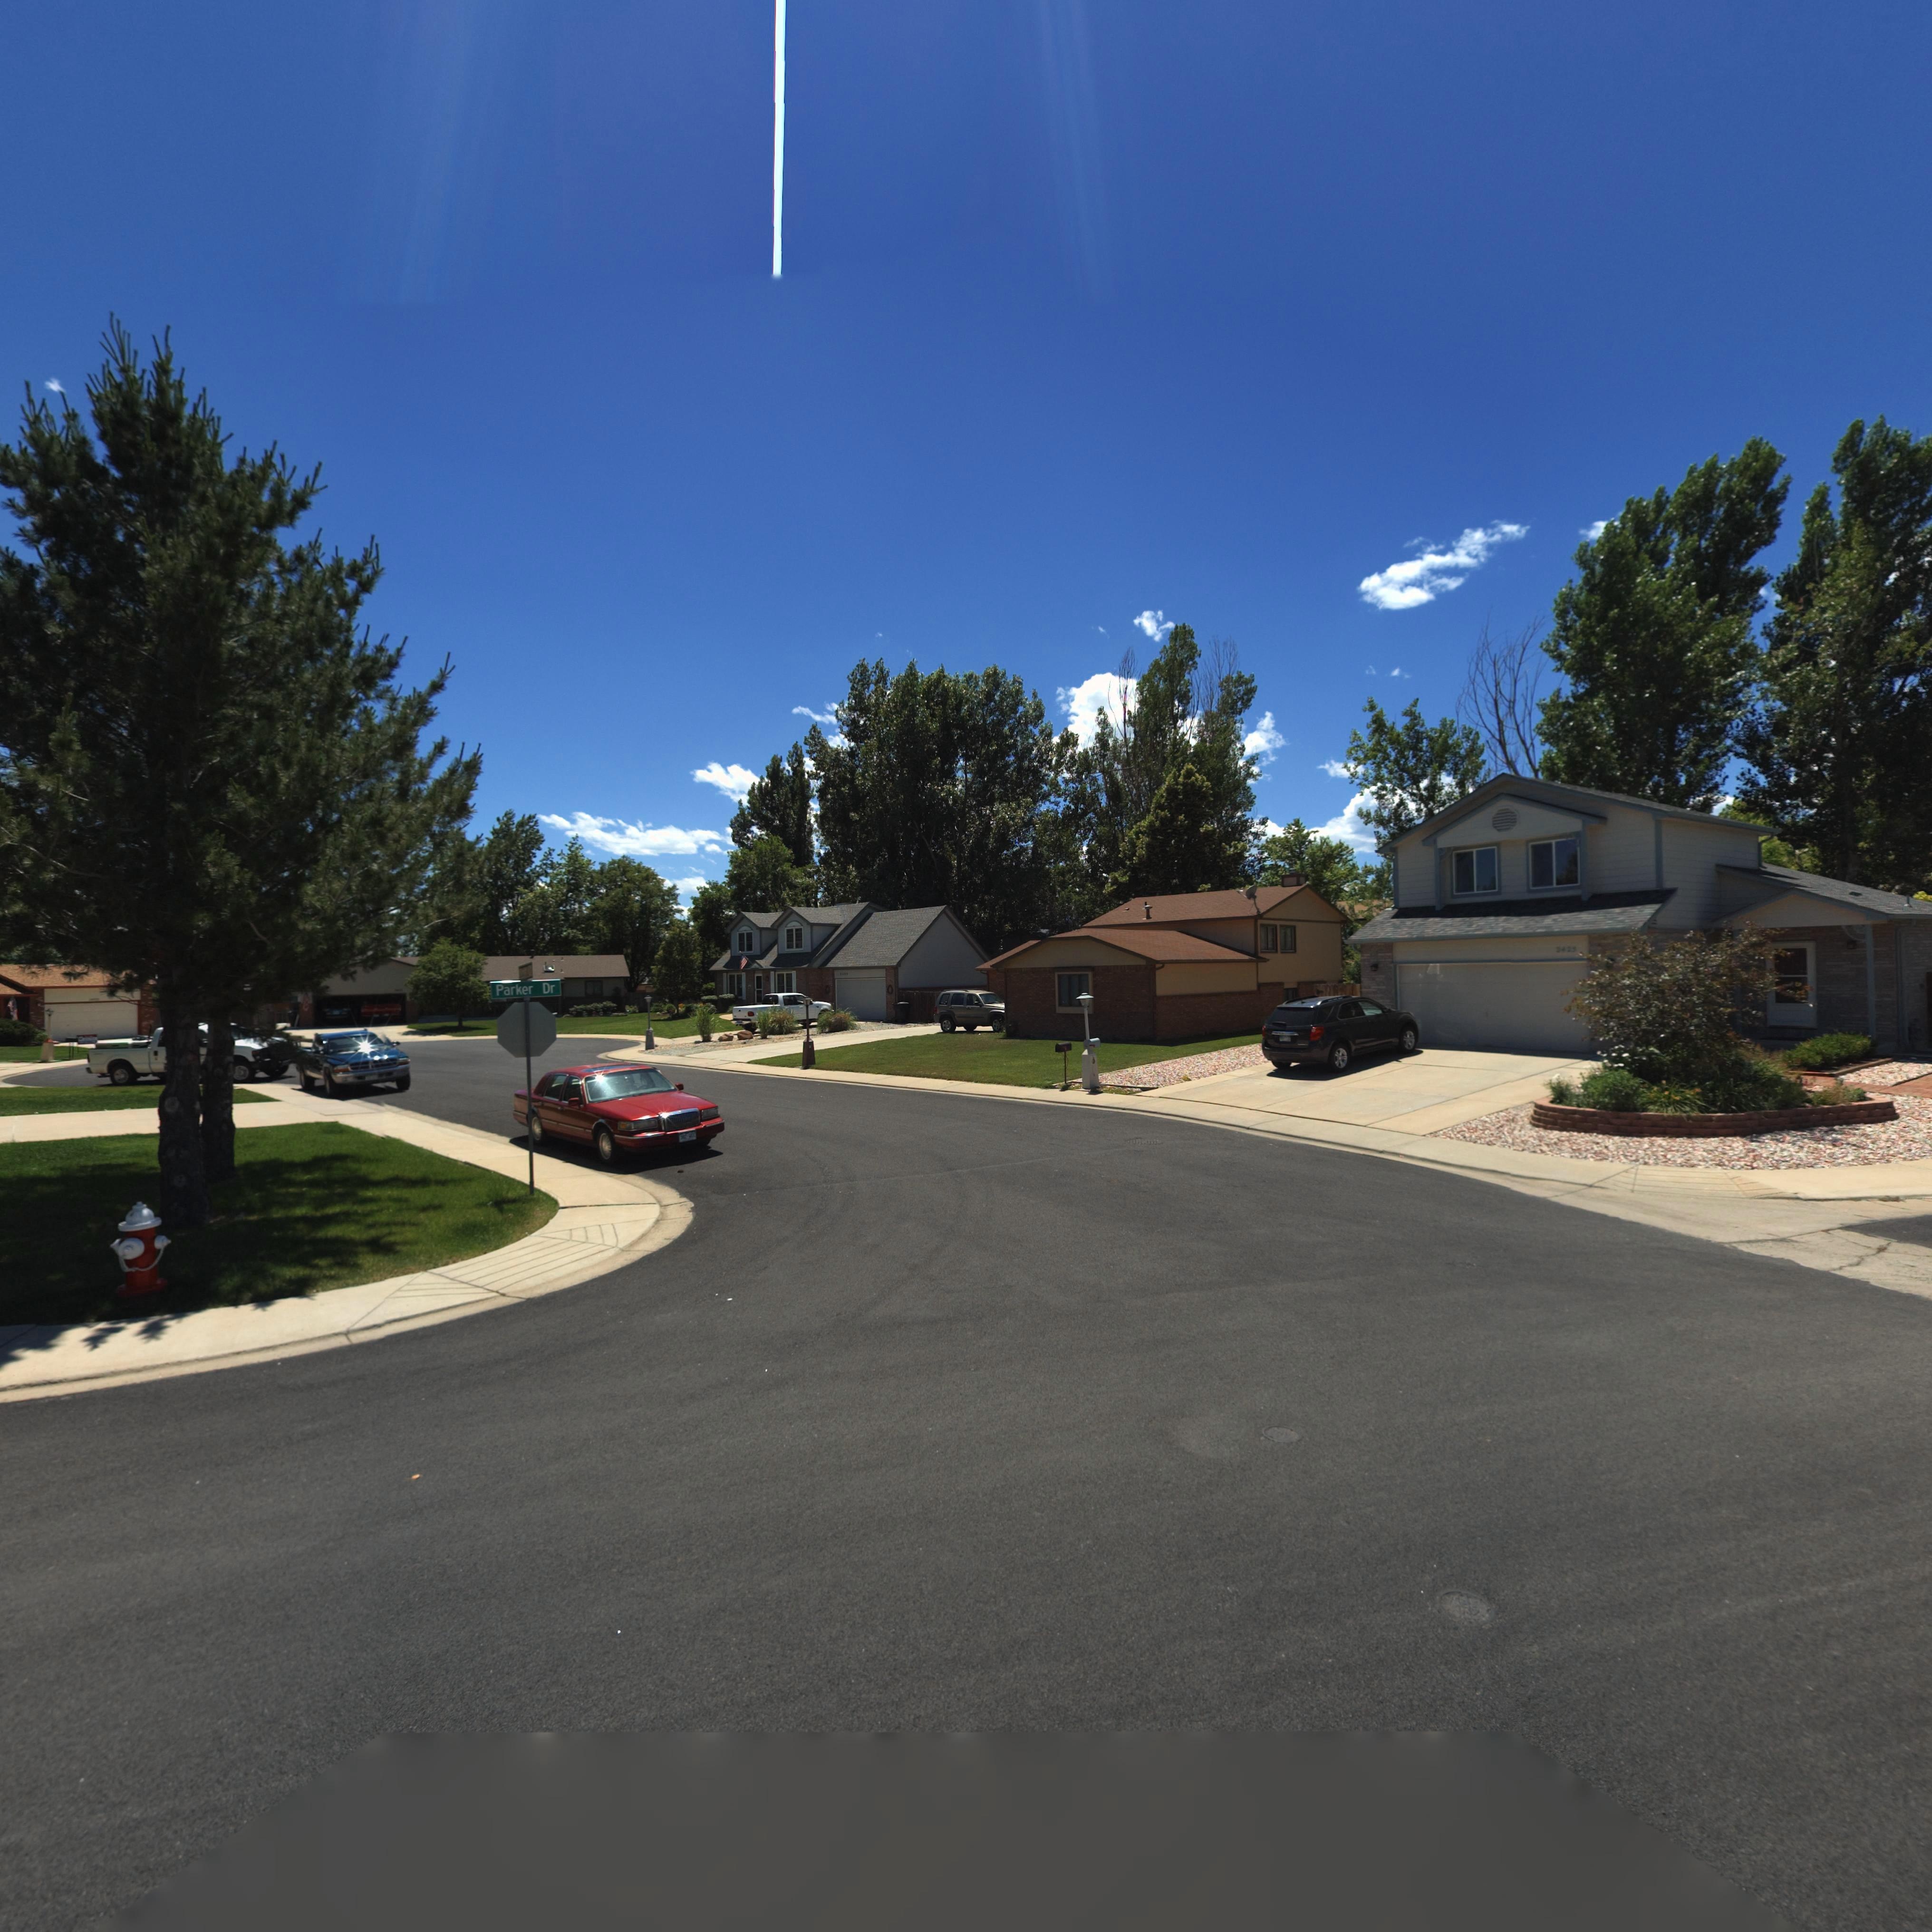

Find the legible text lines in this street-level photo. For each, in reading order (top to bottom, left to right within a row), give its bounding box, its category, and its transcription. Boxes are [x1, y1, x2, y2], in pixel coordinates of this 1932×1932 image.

[1555, 946, 1577, 953] StreetNumber: 2425
[496, 983, 555, 995] StreetName: Parker Dr